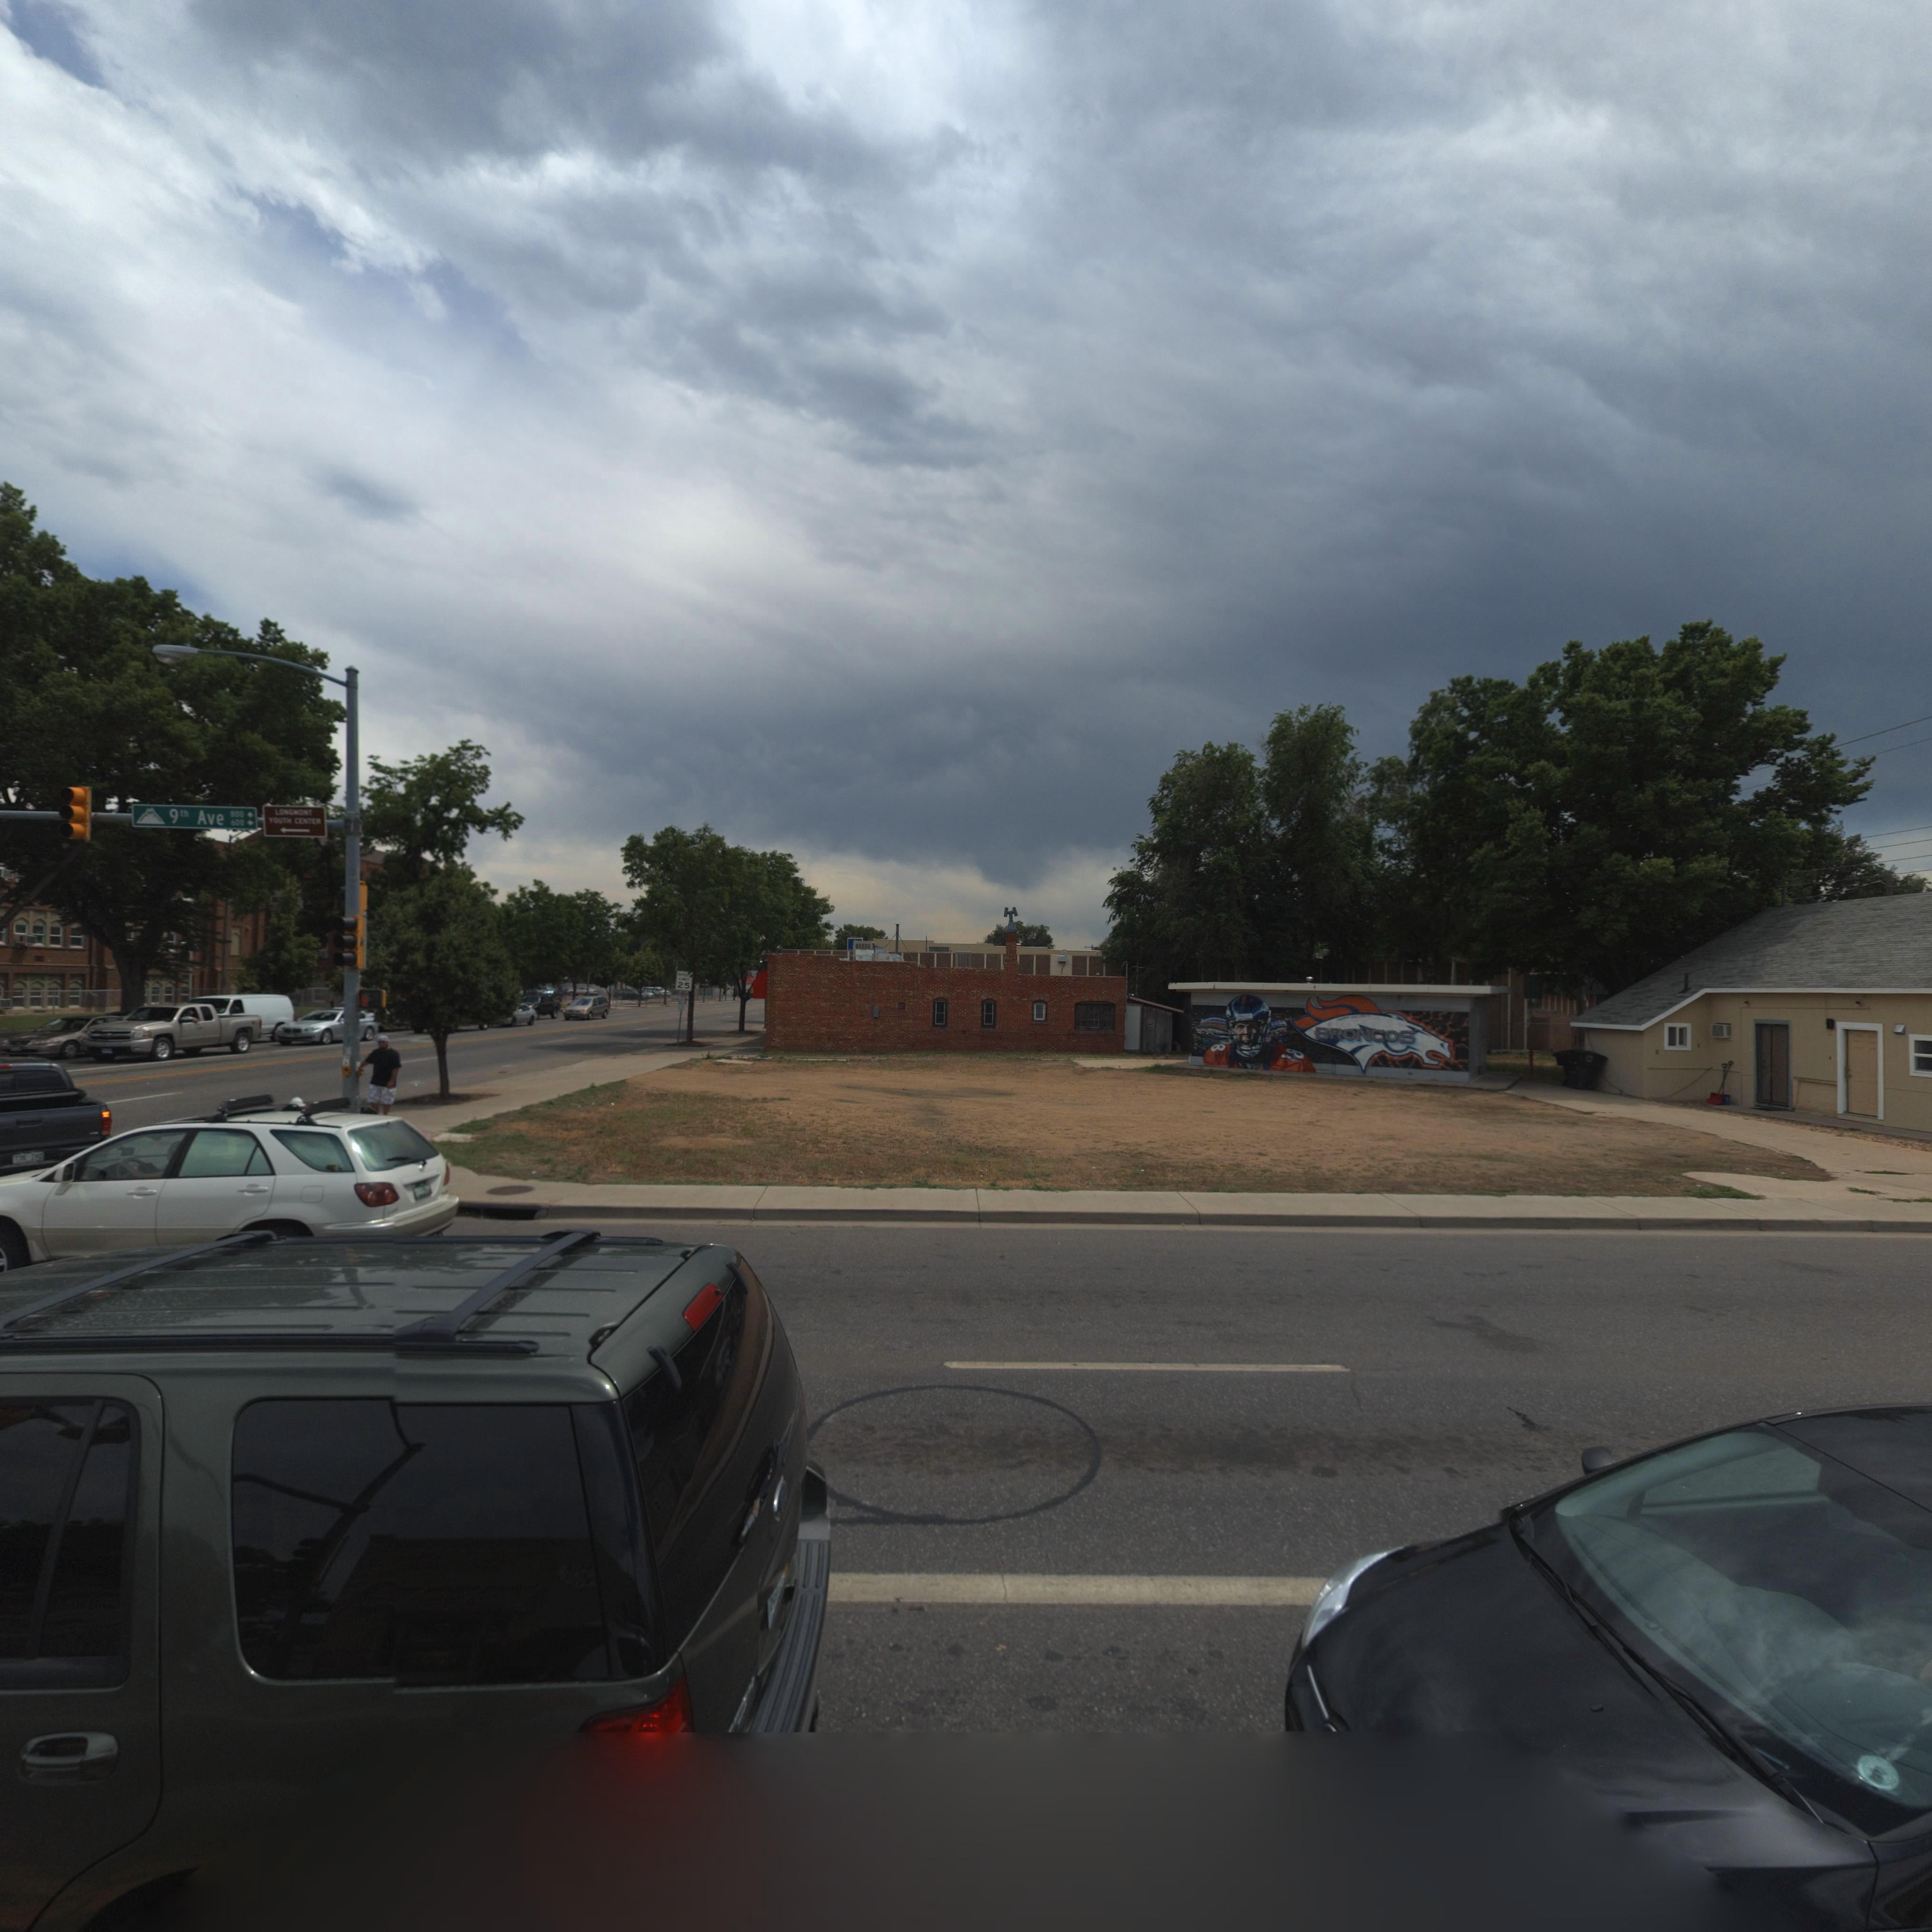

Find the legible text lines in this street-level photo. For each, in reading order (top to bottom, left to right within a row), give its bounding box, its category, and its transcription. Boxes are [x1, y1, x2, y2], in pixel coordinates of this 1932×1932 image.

[168, 808, 224, 826] StreetName: 9th Ave
[230, 810, 244, 817] StreetNumberRange: 800
[230, 819, 255, 826] StreetNumberRange: 600->